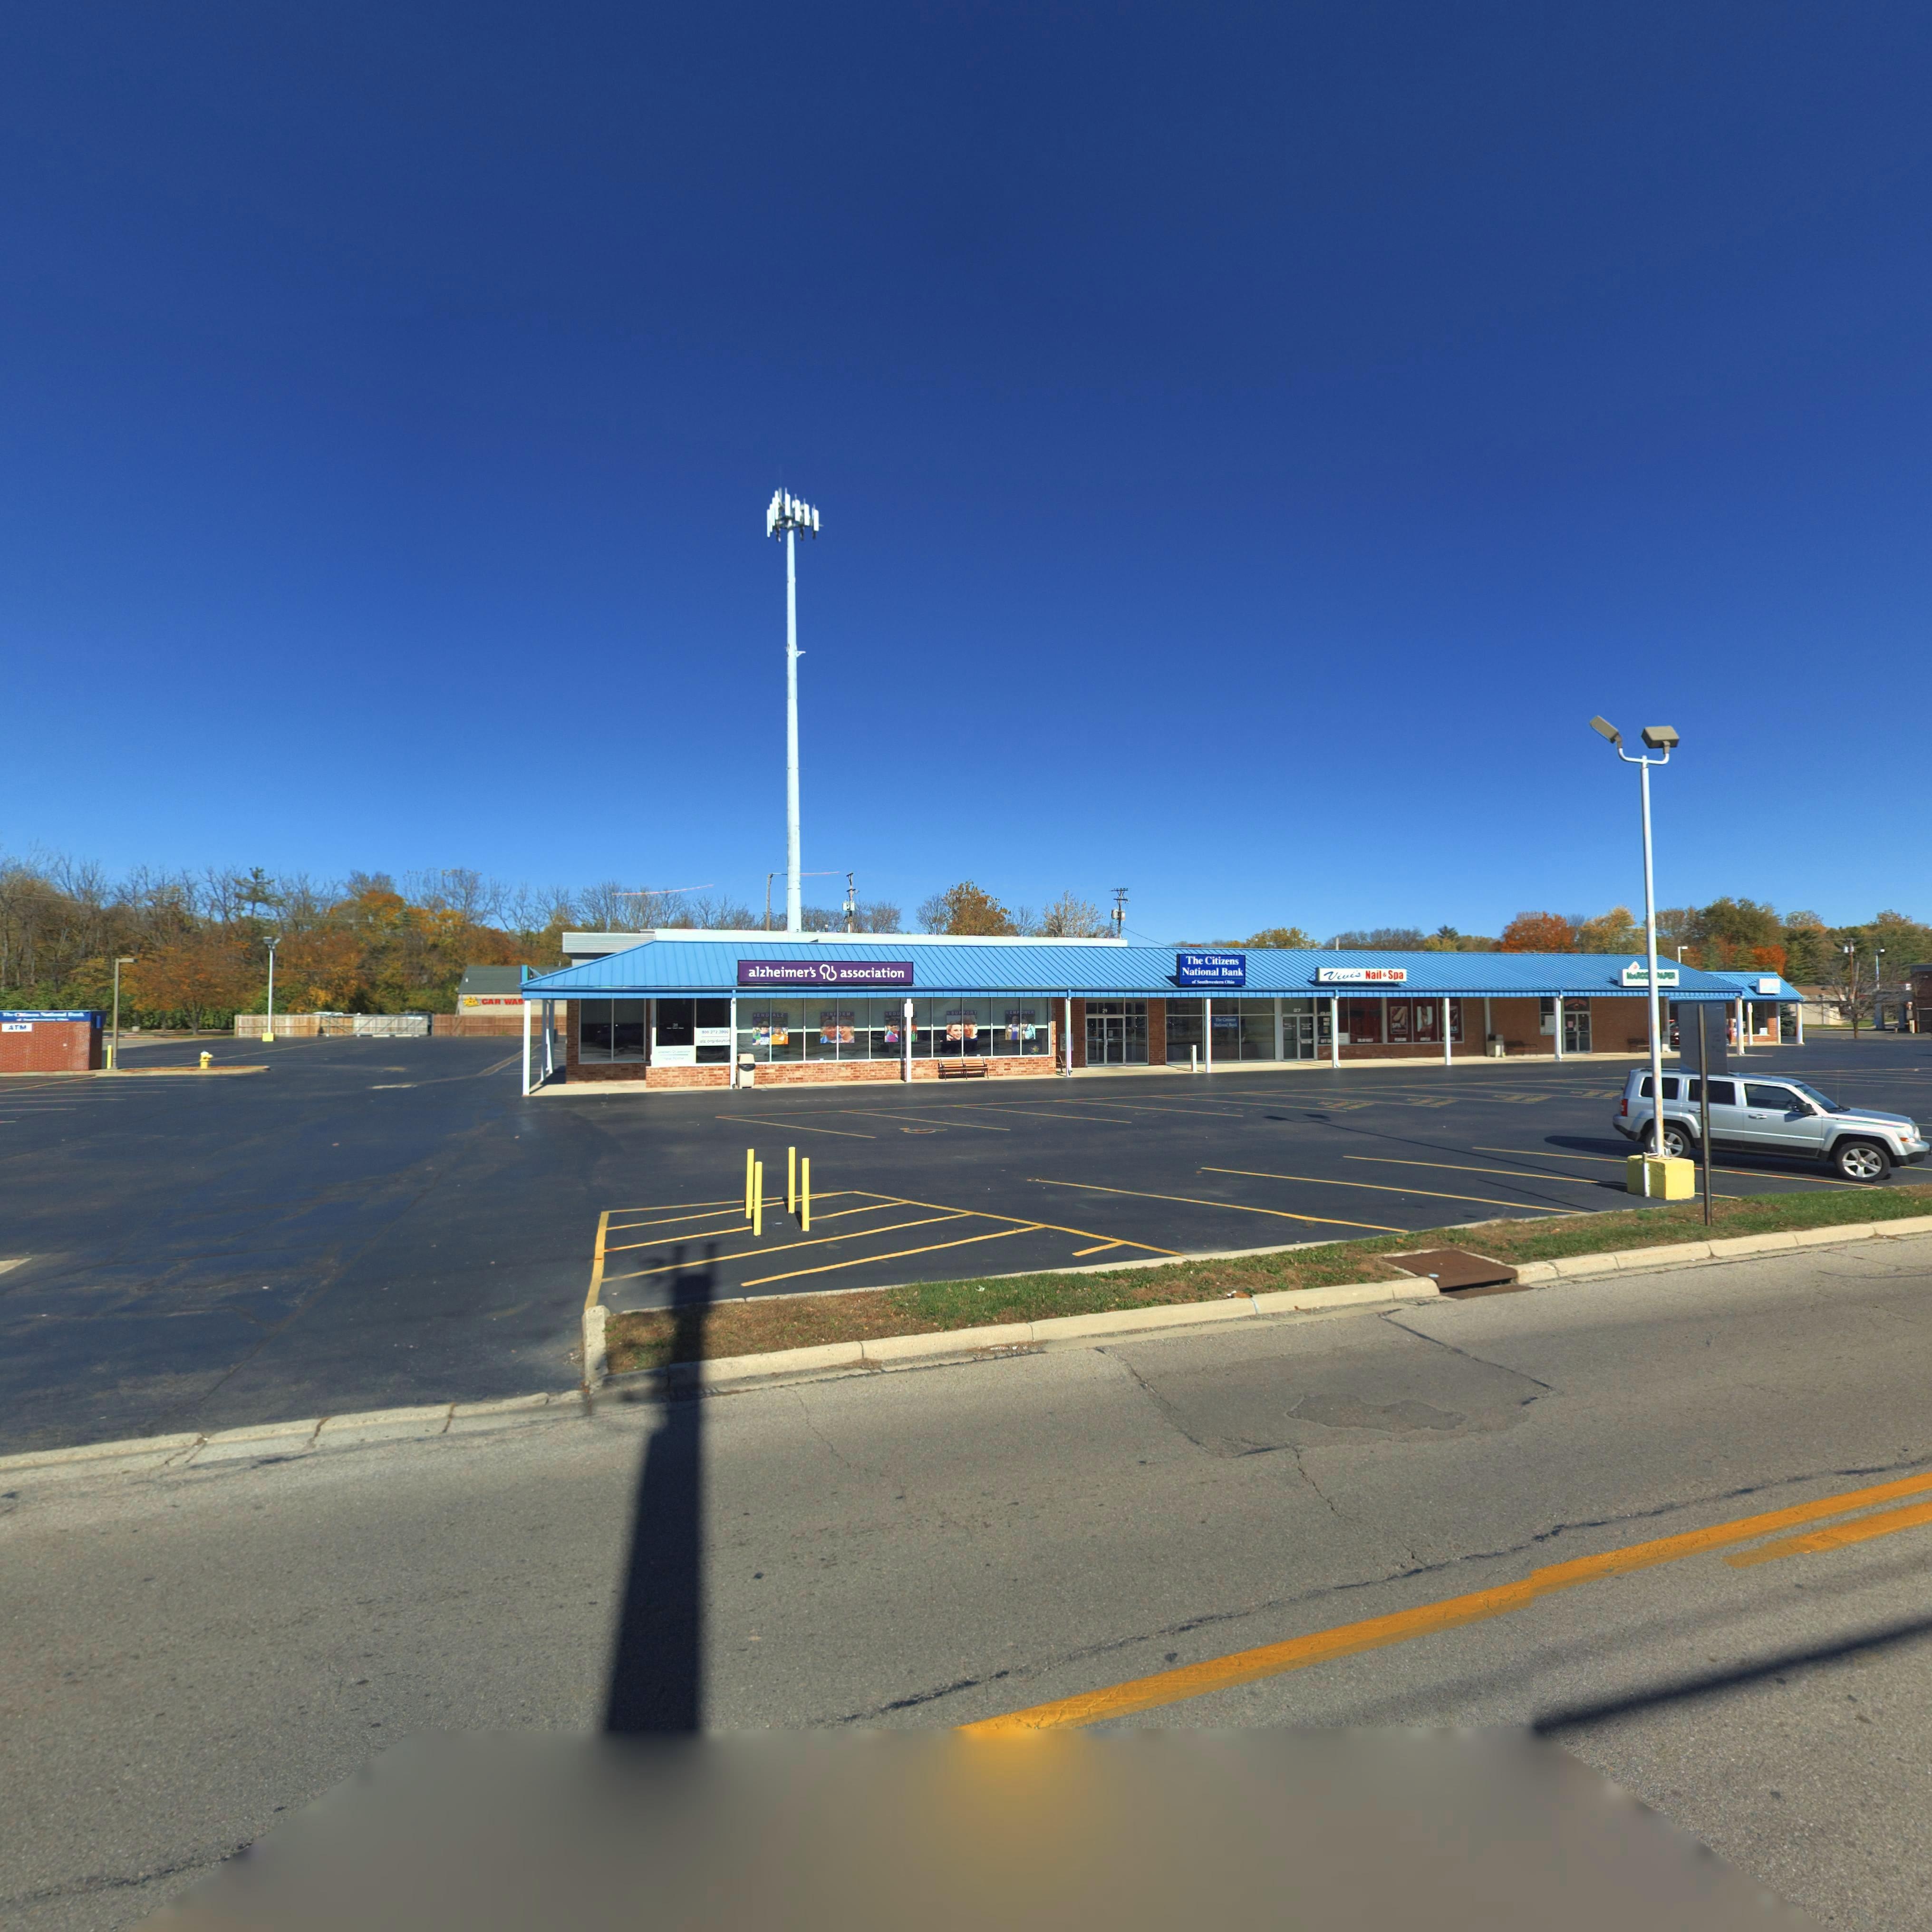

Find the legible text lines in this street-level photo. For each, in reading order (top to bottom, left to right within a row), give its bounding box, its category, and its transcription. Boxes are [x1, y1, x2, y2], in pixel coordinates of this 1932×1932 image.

[1185, 955, 1239, 966] BusinessName: The Citizens
[748, 966, 905, 979] BusinessName: alzheimer's * association
[1180, 966, 1244, 976] BusinessName: National Bank
[1323, 969, 1404, 981] BusinessName: Vivi's Nail & Spa
[1625, 971, 1676, 980] BusinessName: M*RCO** *APER
[1190, 979, 1235, 985] None: of Southwestern Ohio
[481, 998, 524, 1005] None: CAR WAS
[756, 1013, 784, 1018] None: END*ALZ
[827, 1012, 851, 1017] None: INF*RM
[889, 1011, 900, 1016] None: EDU
[951, 1010, 977, 1015] None: SUP*ORT
[1009, 1010, 1034, 1015] None: EMP*WER
[1101, 1007, 1109, 1014] StreetNumber: 29
[1293, 1007, 1302, 1013] StreetNumber: 27
[1214, 1017, 1227, 1022] BusinessName: The C
[7, 1024, 27, 1030] None: ATM
[672, 1022, 679, 1028] StreetNumber: 31
[1391, 1023, 1402, 1028] None: SPA
[1451, 1026, 1458, 1031] None: LS
[701, 1030, 729, 1034] None: *00 272 *900
[706, 1038, 731, 1044] None: o*g*dayton